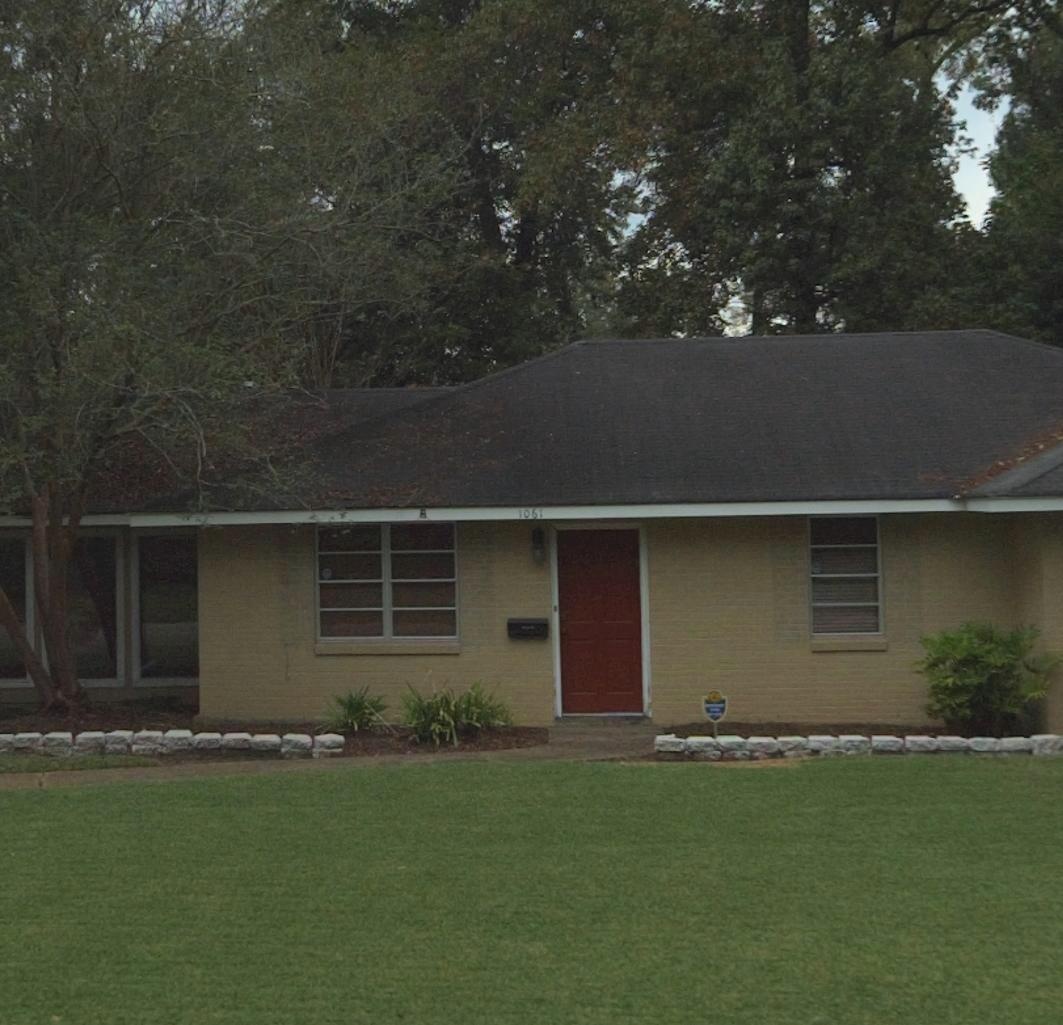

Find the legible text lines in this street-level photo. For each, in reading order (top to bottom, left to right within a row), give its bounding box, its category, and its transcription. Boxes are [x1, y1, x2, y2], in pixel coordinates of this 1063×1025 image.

[518, 508, 544, 519] StreetNumber: 1061